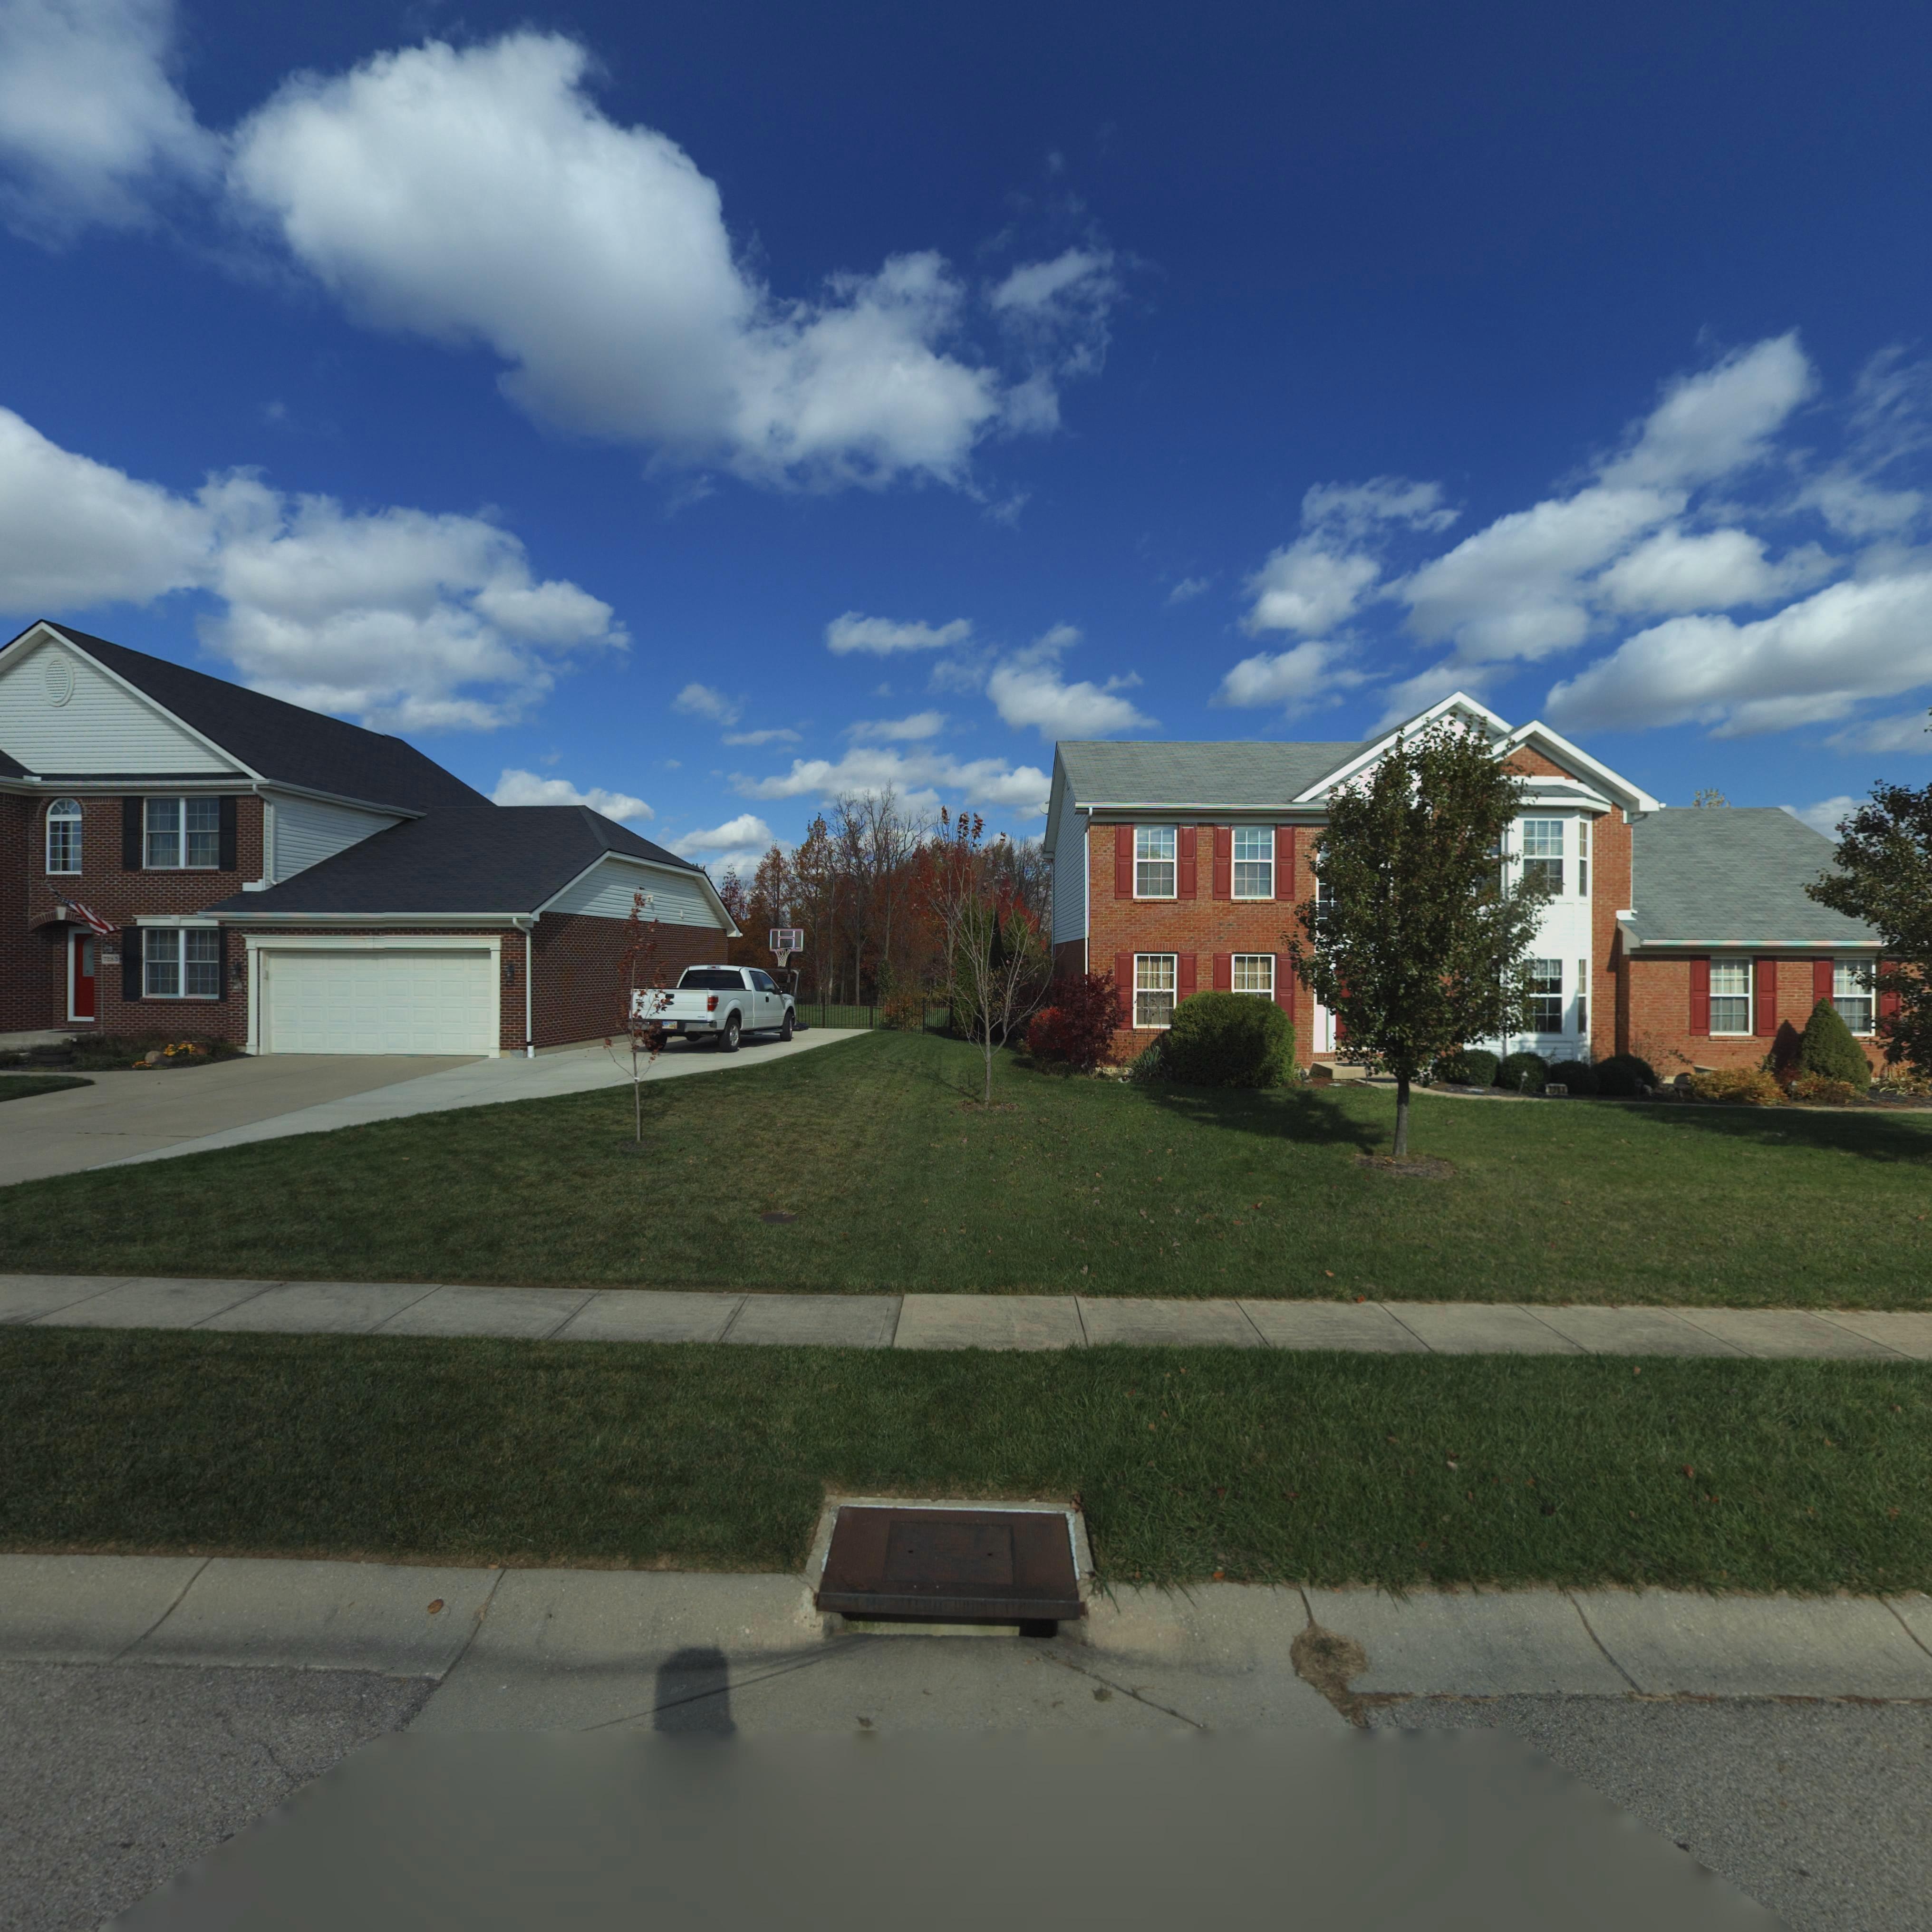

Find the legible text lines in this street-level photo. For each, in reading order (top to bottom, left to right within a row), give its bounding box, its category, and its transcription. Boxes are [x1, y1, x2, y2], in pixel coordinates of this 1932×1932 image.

[102, 956, 119, 962] StreetNumber: 728*